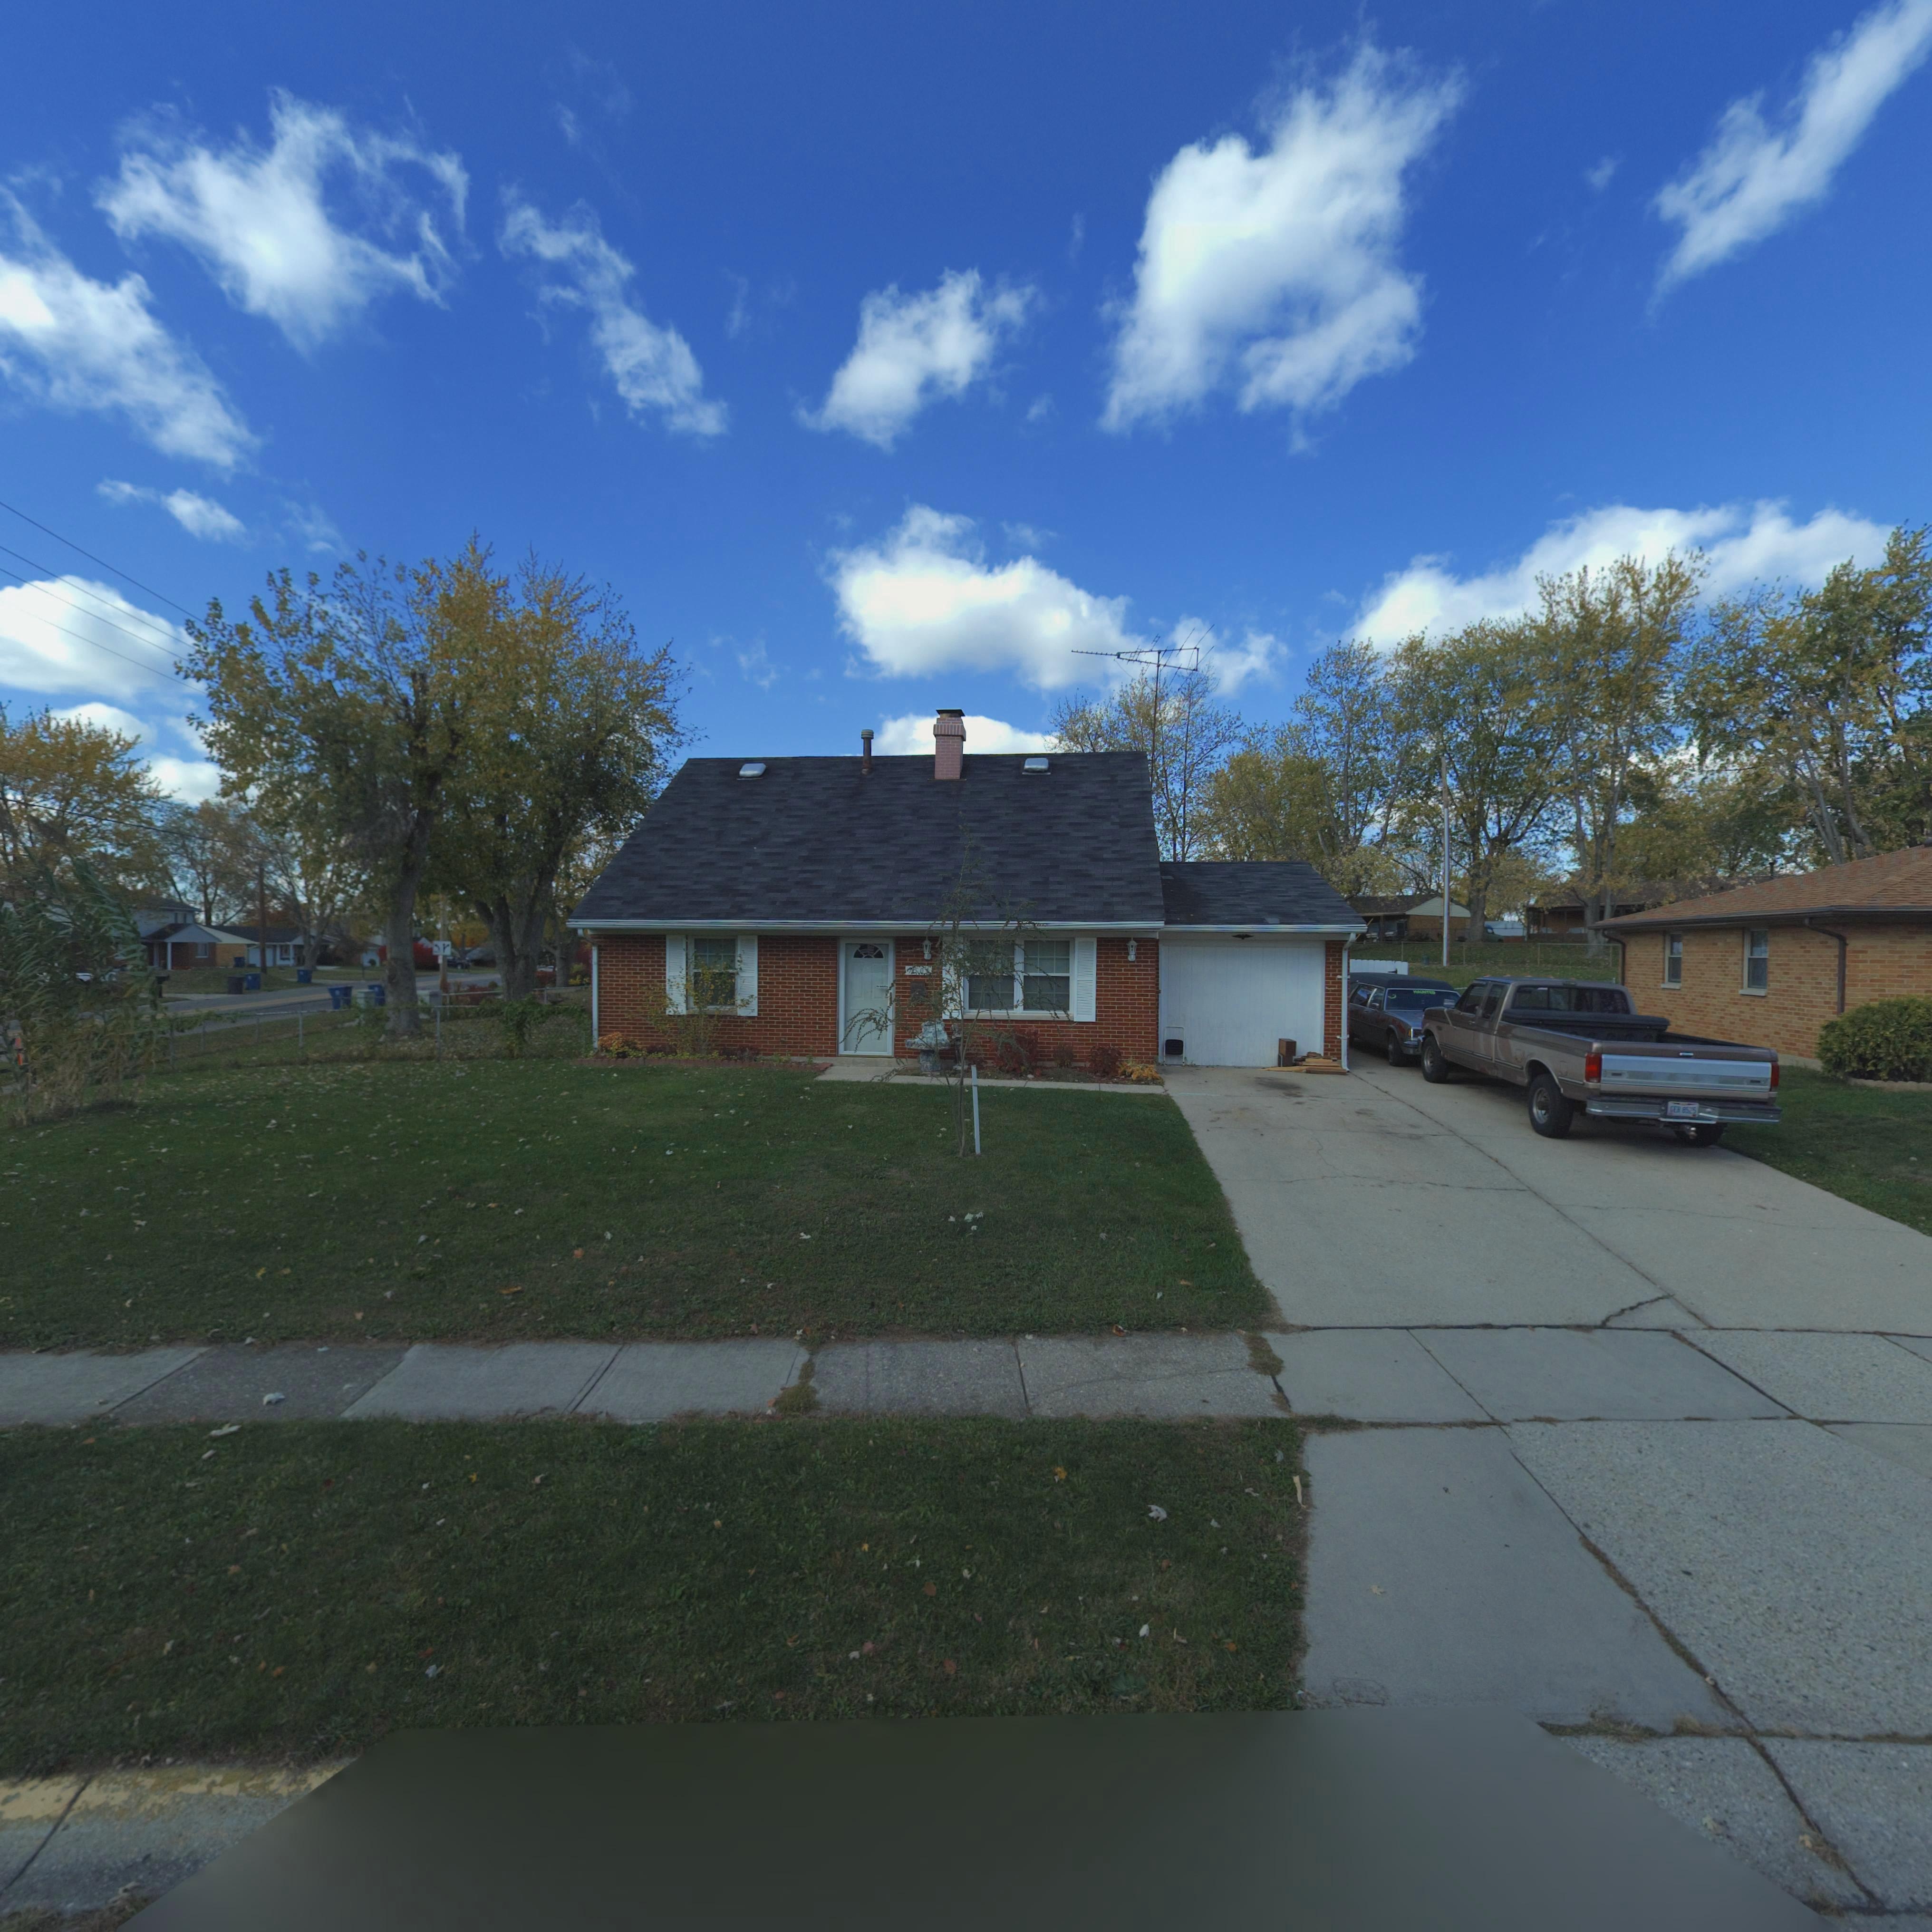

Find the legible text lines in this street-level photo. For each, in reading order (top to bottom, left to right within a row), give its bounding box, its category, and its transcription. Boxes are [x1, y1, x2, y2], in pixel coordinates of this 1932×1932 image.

[919, 967, 924, 975] StreetNumber: 0